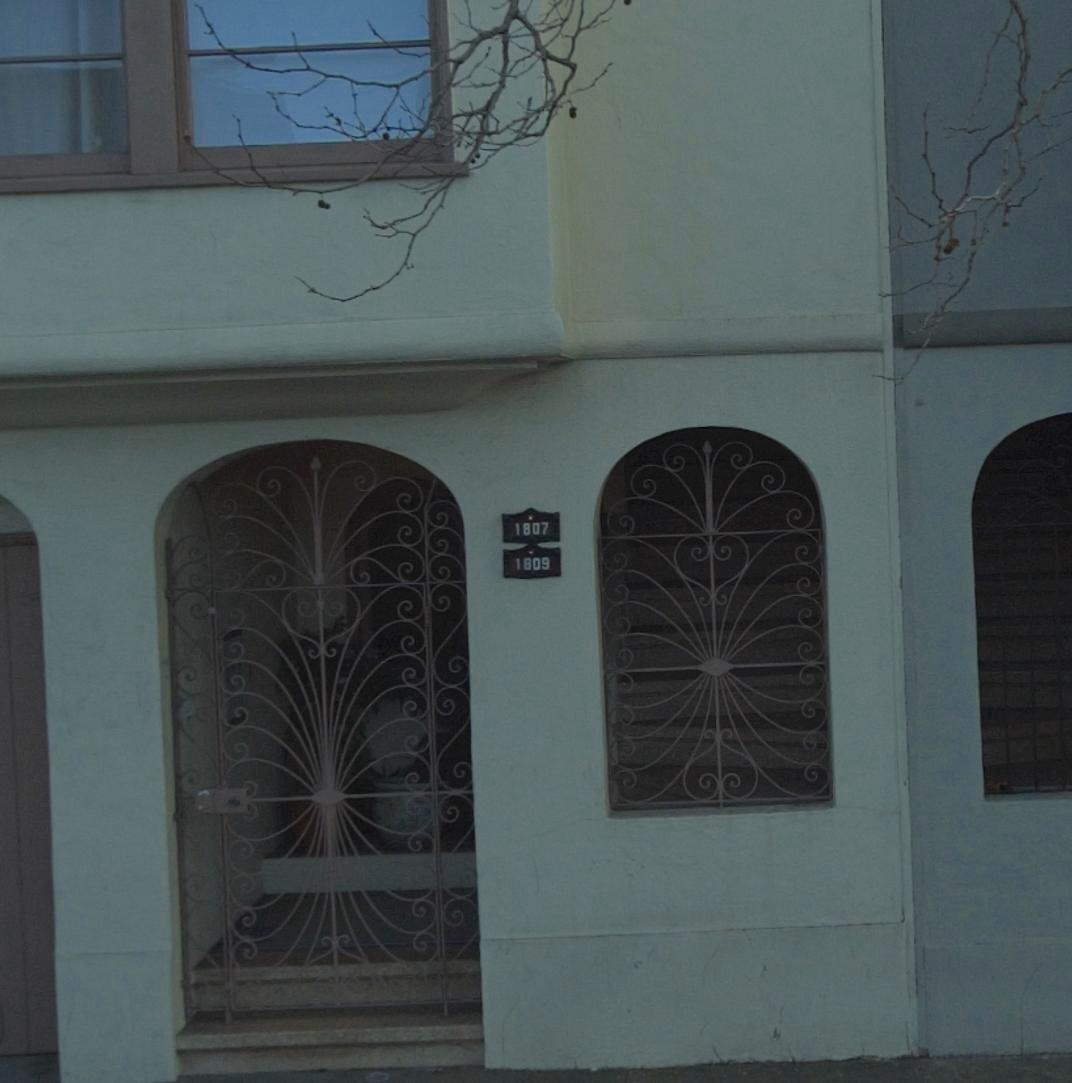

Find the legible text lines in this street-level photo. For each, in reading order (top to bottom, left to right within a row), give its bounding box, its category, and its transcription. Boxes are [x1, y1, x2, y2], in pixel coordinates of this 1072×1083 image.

[512, 519, 553, 538] StreetNumber: 1807
[512, 554, 553, 573] StreetNumber: 1809